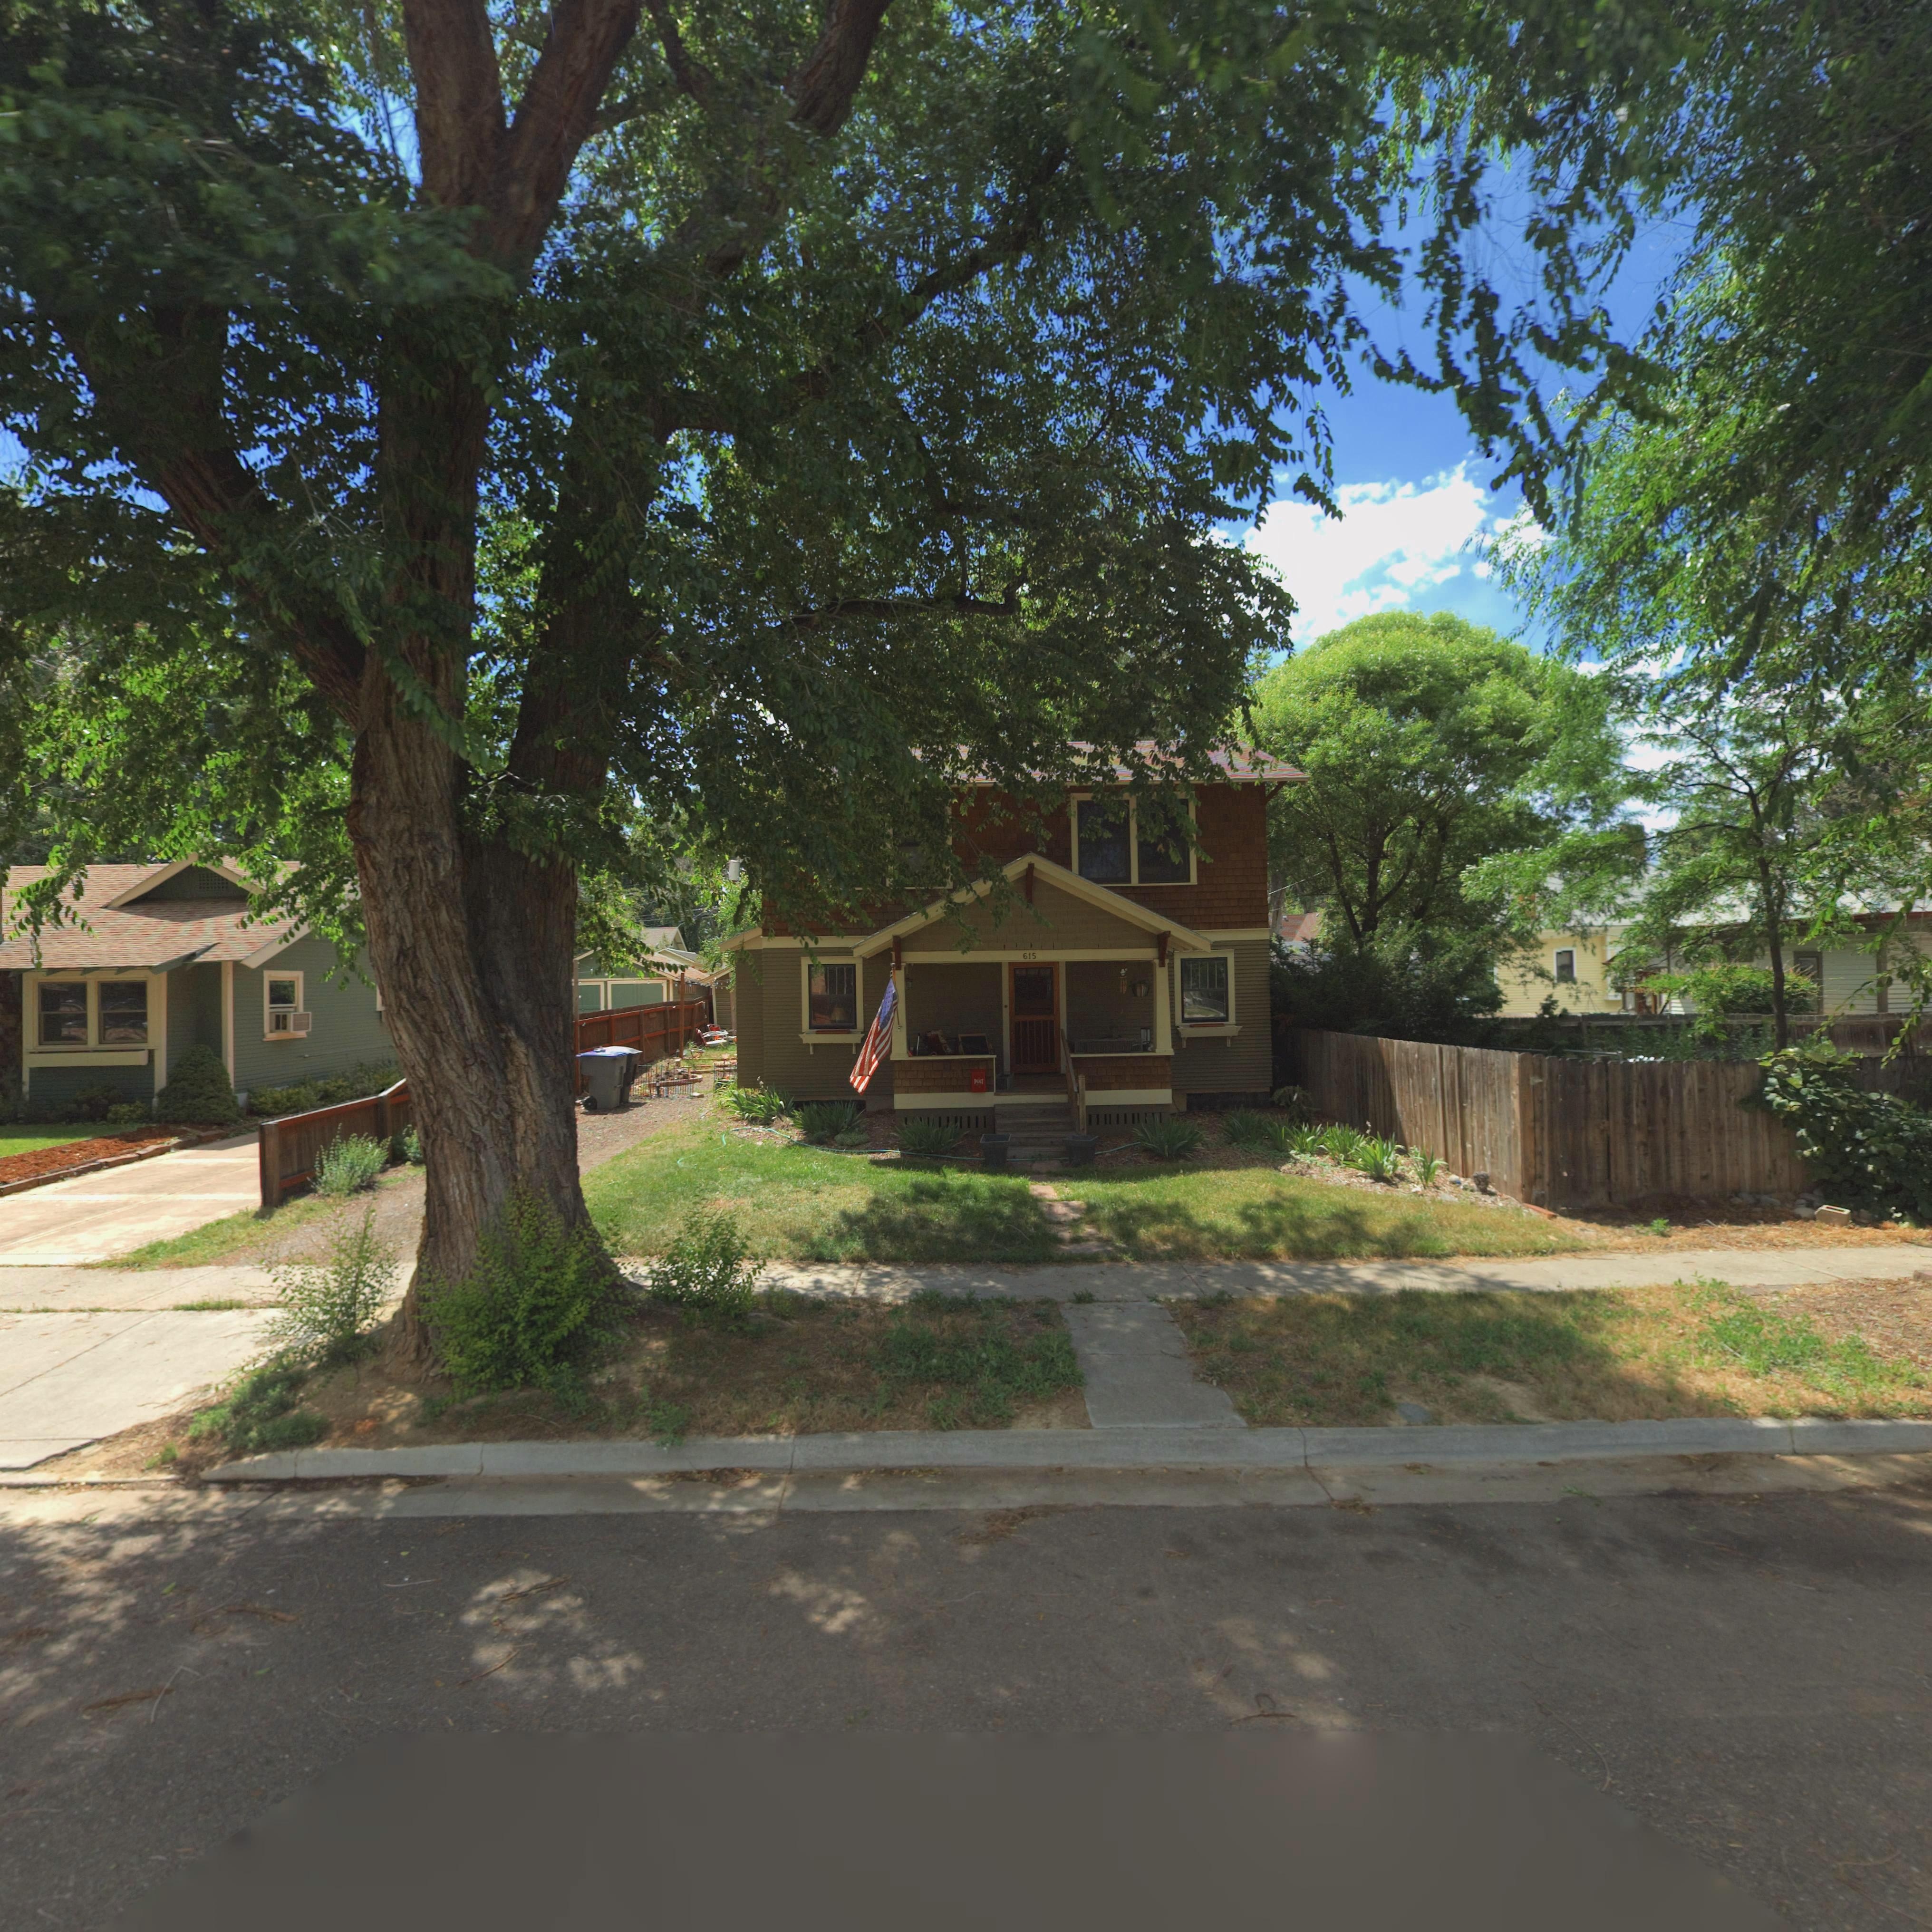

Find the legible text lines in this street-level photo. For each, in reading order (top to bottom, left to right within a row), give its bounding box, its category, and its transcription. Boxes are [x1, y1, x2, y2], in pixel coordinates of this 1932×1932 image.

[1022, 952, 1036, 959] StreetNumber: 615